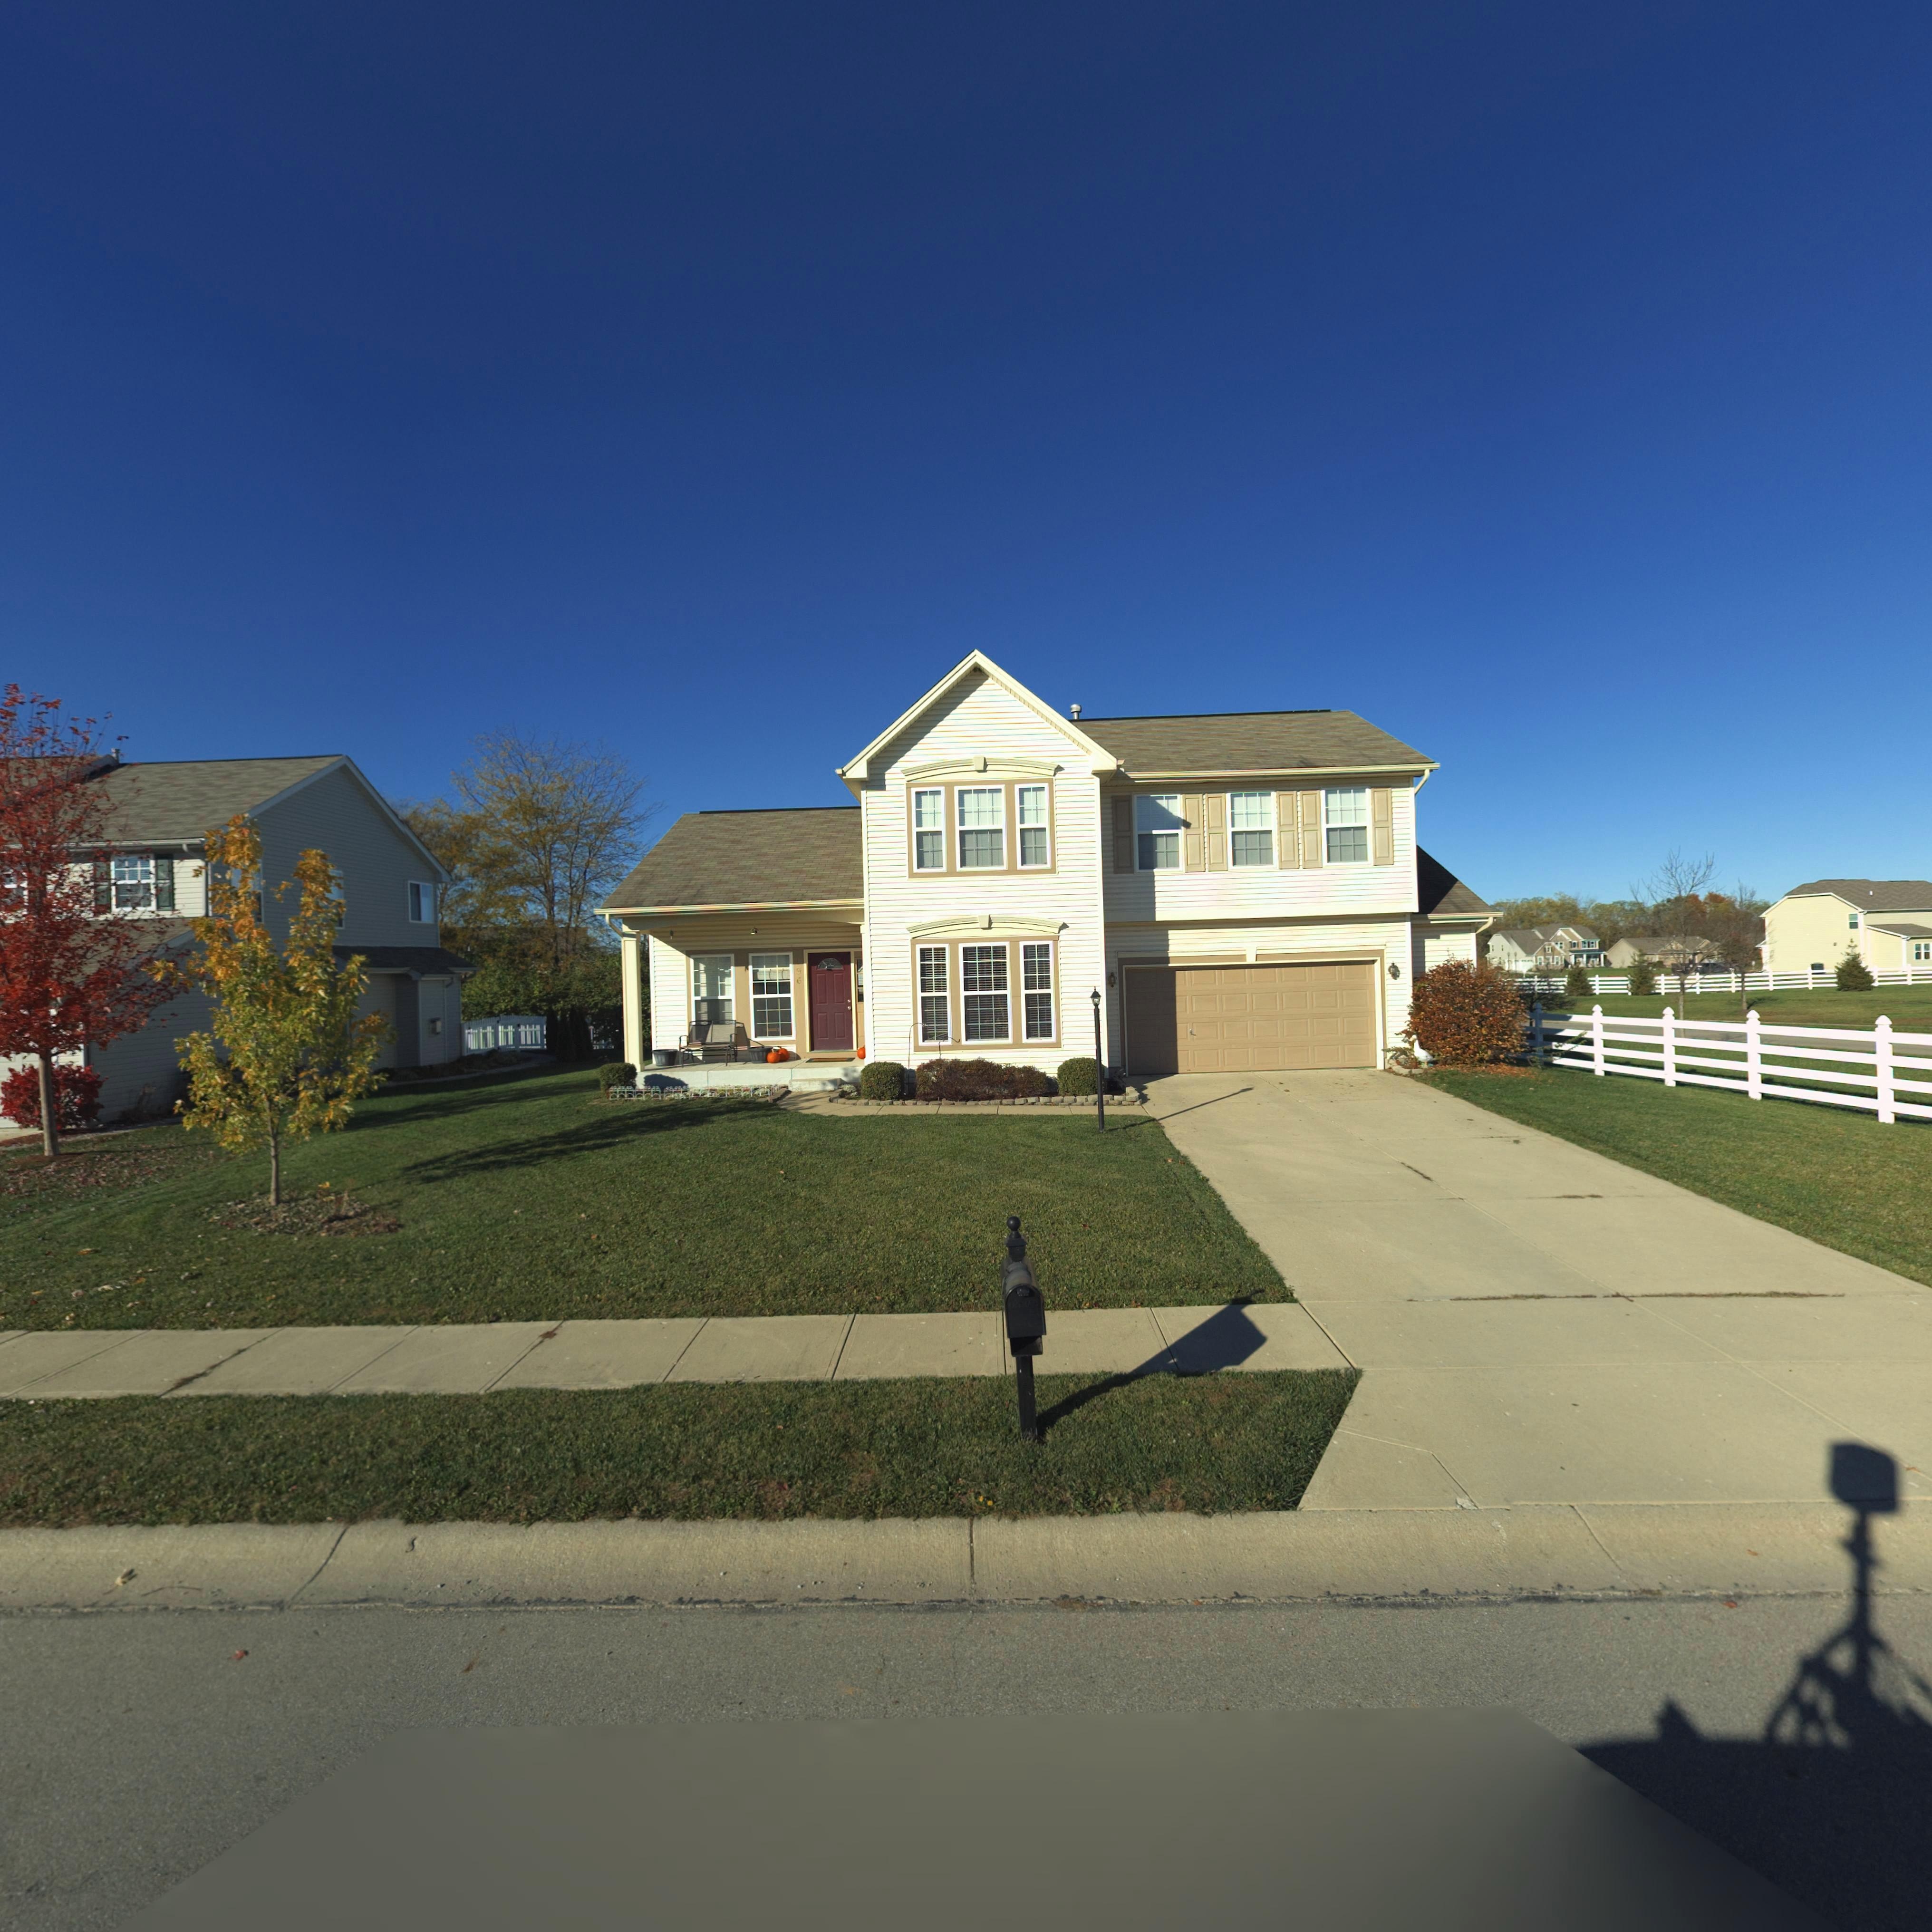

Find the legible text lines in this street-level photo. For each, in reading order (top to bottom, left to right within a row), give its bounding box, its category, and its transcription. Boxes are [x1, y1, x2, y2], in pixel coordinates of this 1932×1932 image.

[796, 956, 802, 985] StreetNumber: 196